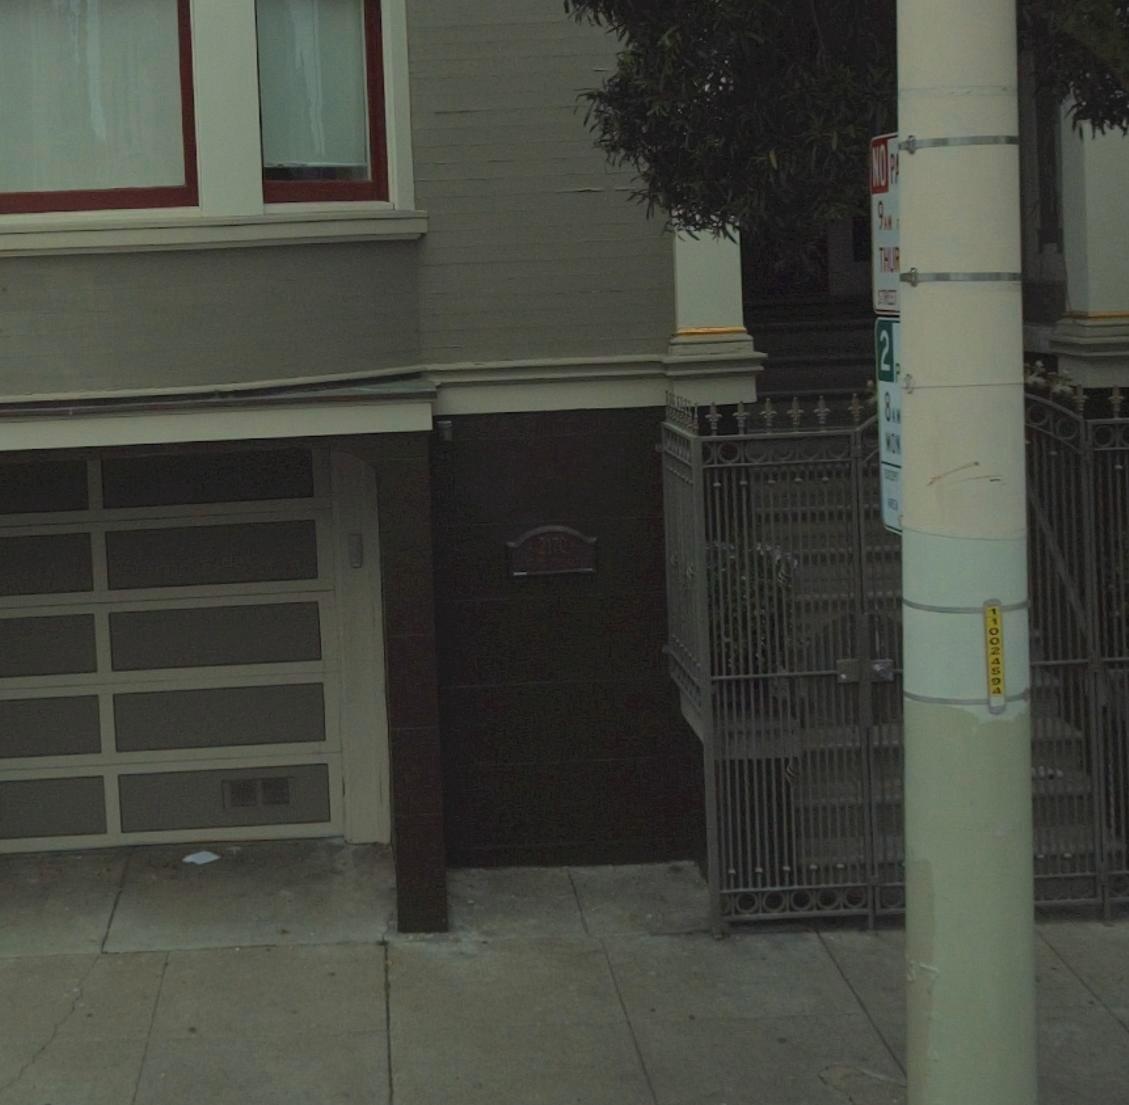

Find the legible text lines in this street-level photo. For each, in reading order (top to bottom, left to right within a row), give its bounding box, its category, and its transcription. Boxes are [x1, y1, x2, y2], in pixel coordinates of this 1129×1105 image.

[870, 141, 896, 190] None: NOP
[875, 198, 894, 232] None: 9AM
[877, 244, 902, 273] None: THUR
[875, 287, 898, 307] None: STREET
[878, 327, 891, 372] None: 2
[893, 361, 903, 384] None: P
[883, 390, 892, 424] None: 8
[537, 535, 569, 556] StreetNumber: 2170
[985, 606, 1005, 698] None: 110024594